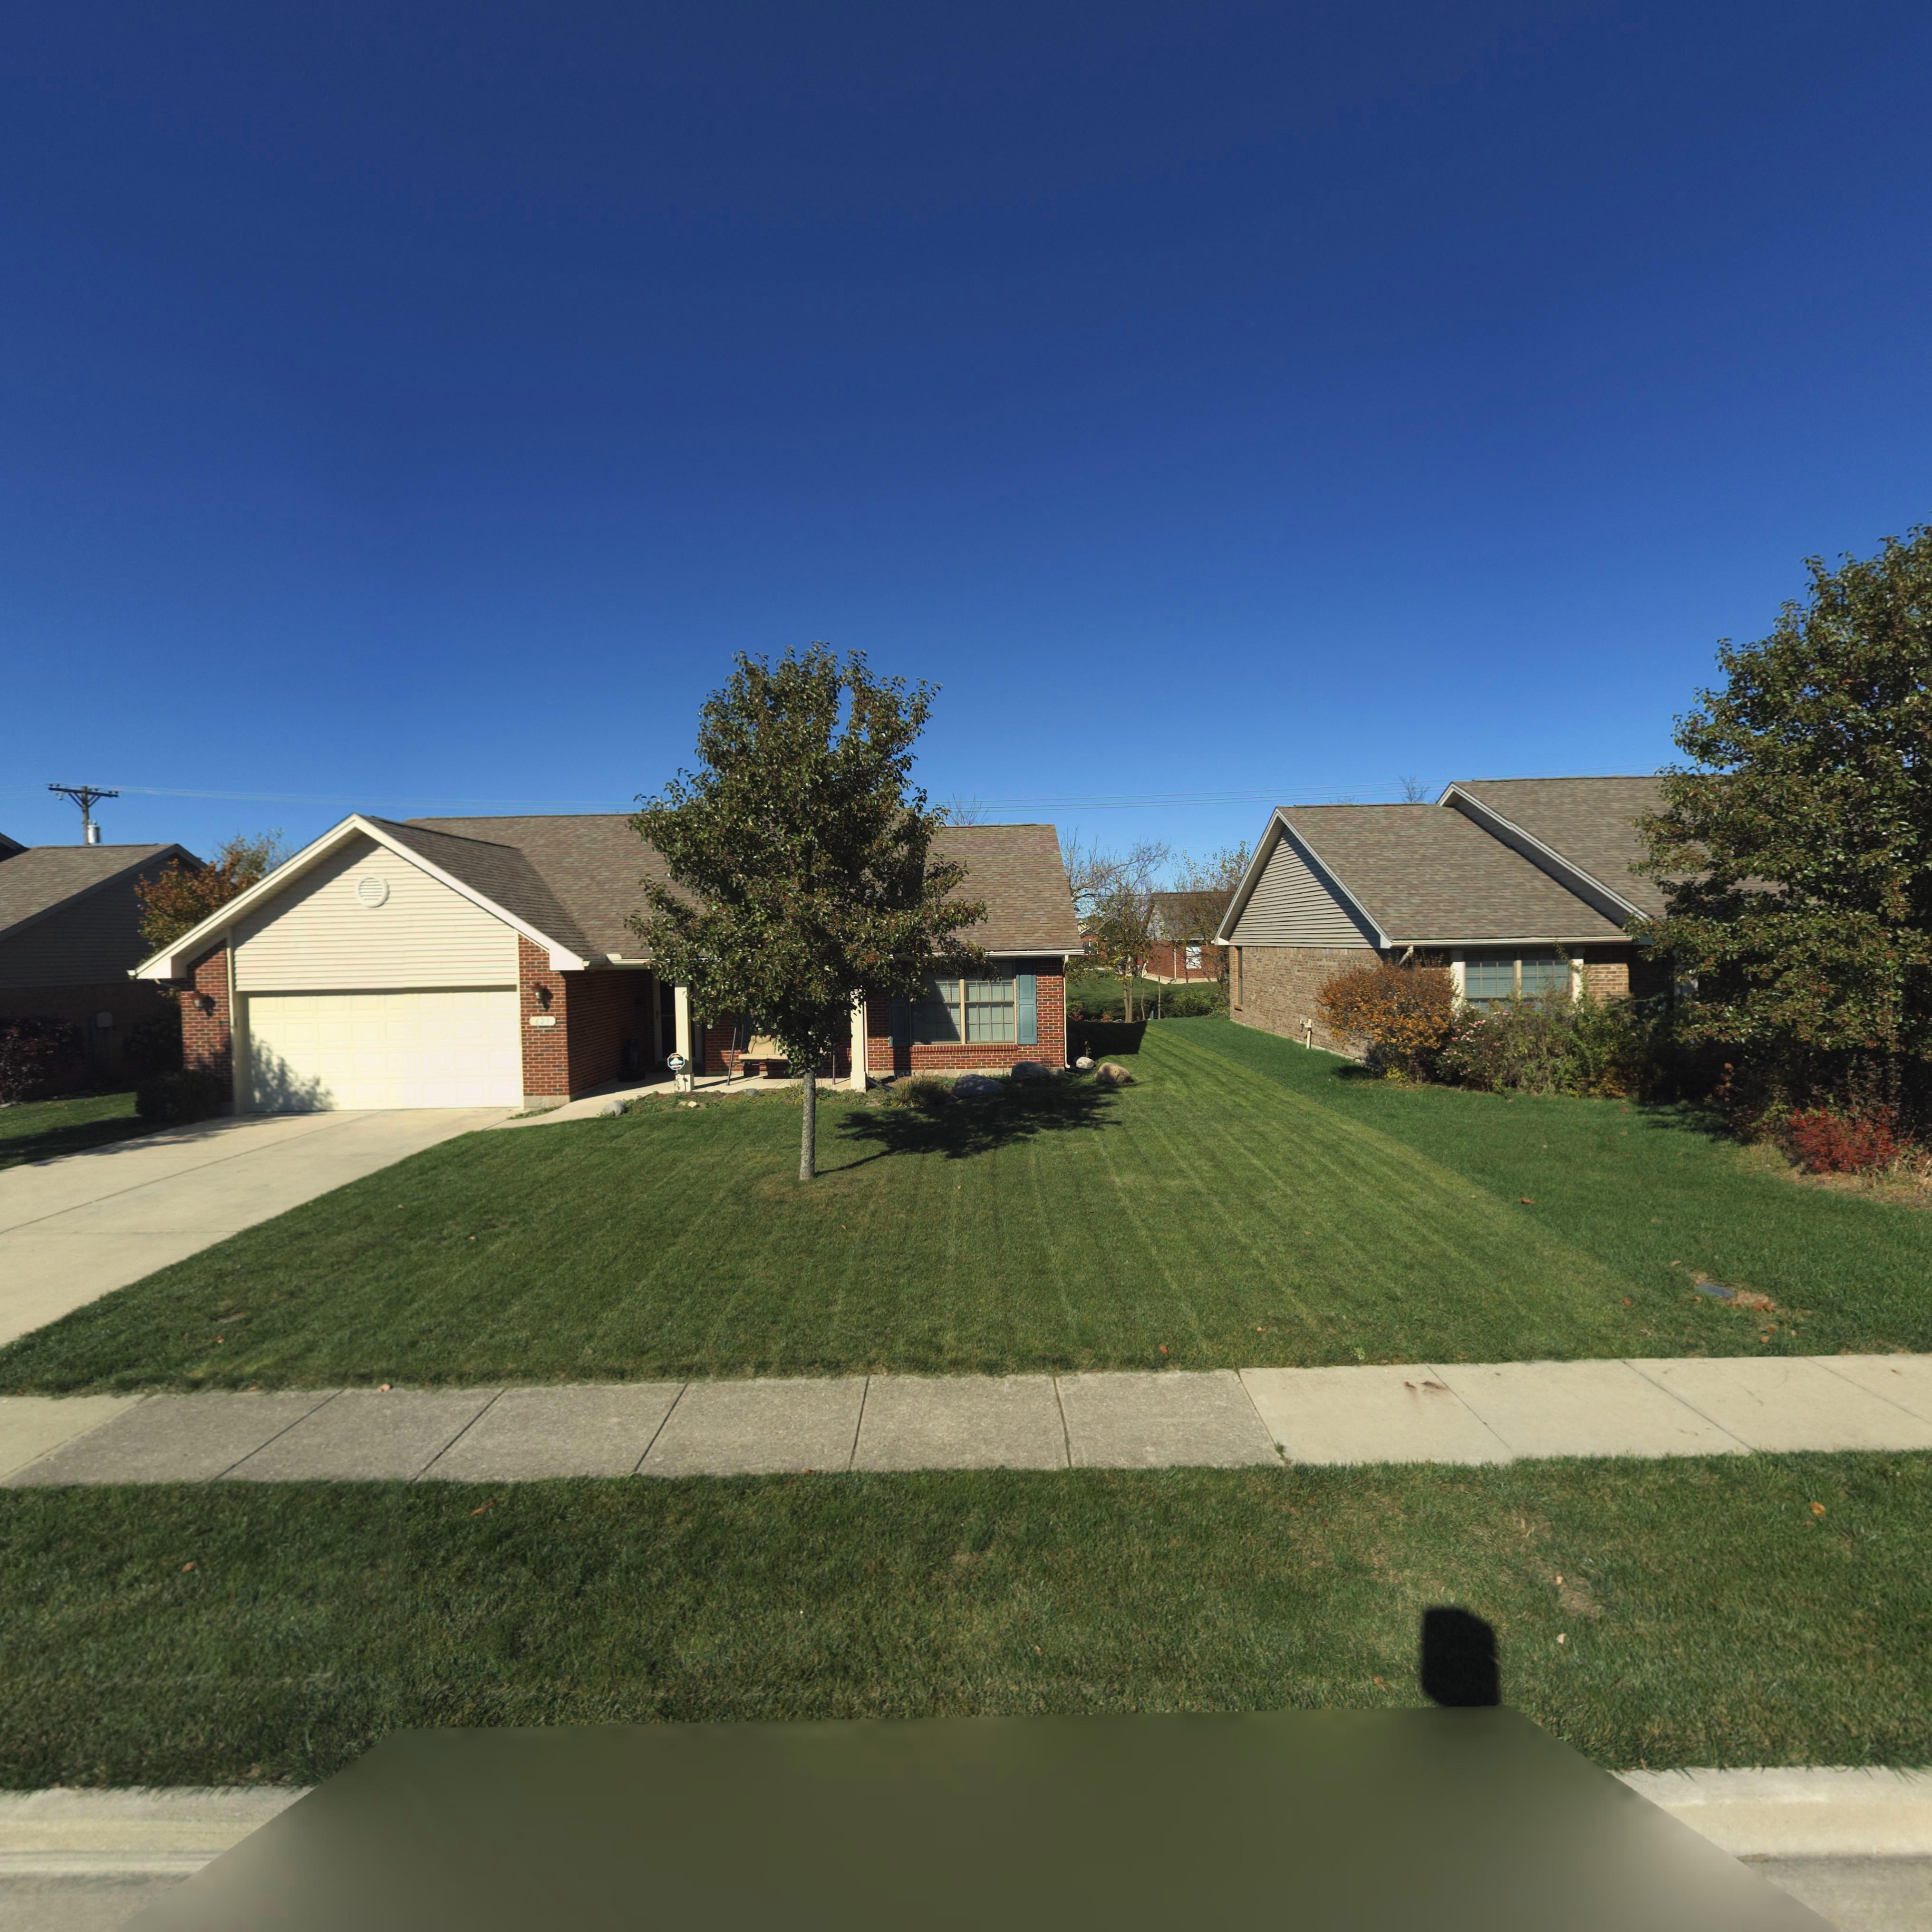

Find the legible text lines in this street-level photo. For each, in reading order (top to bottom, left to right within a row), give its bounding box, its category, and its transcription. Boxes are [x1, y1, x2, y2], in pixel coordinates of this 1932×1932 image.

[534, 1017, 551, 1026] StreetNumber: 629